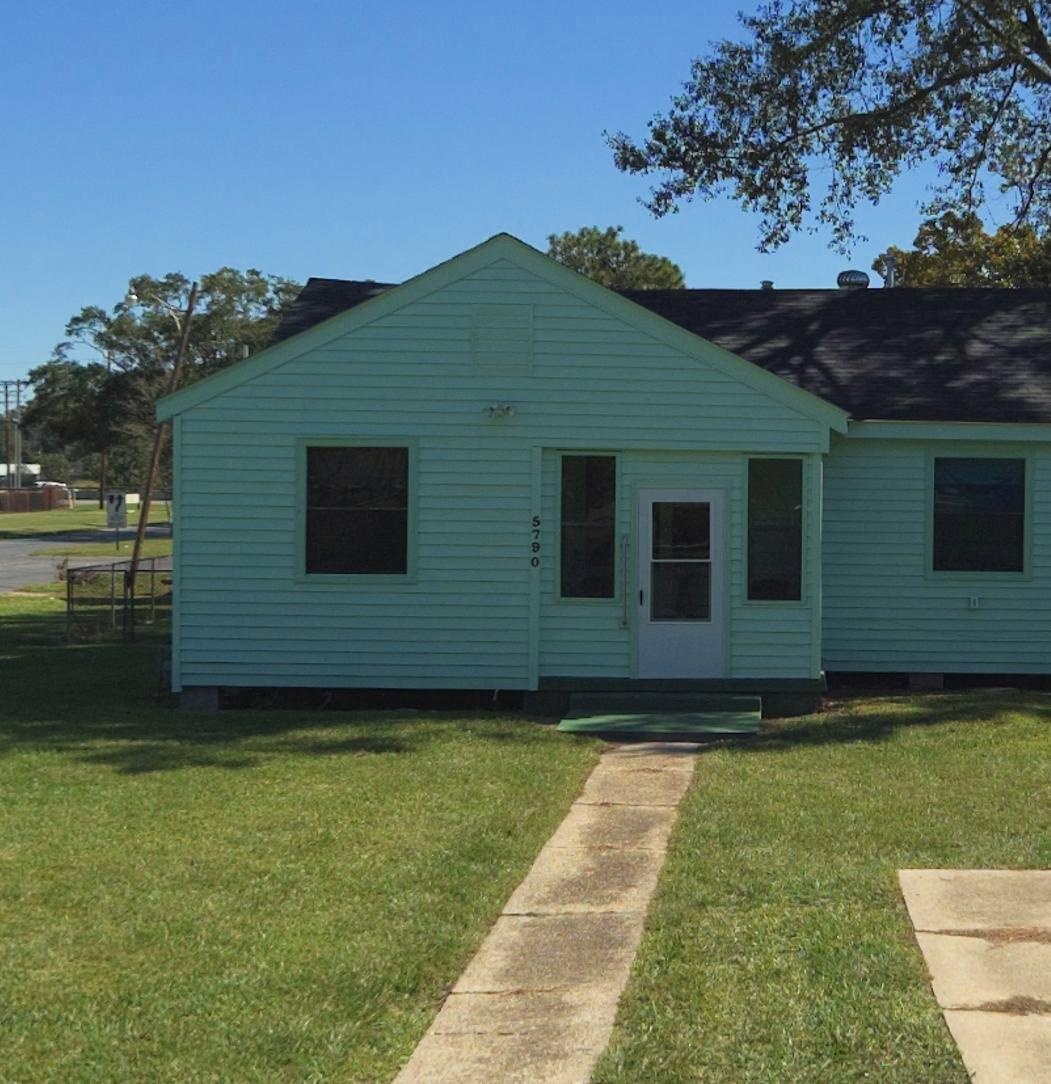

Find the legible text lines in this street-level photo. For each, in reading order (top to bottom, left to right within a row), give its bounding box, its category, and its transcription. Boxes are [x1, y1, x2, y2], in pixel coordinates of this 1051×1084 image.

[530, 515, 542, 568] StreetNumber: 5790